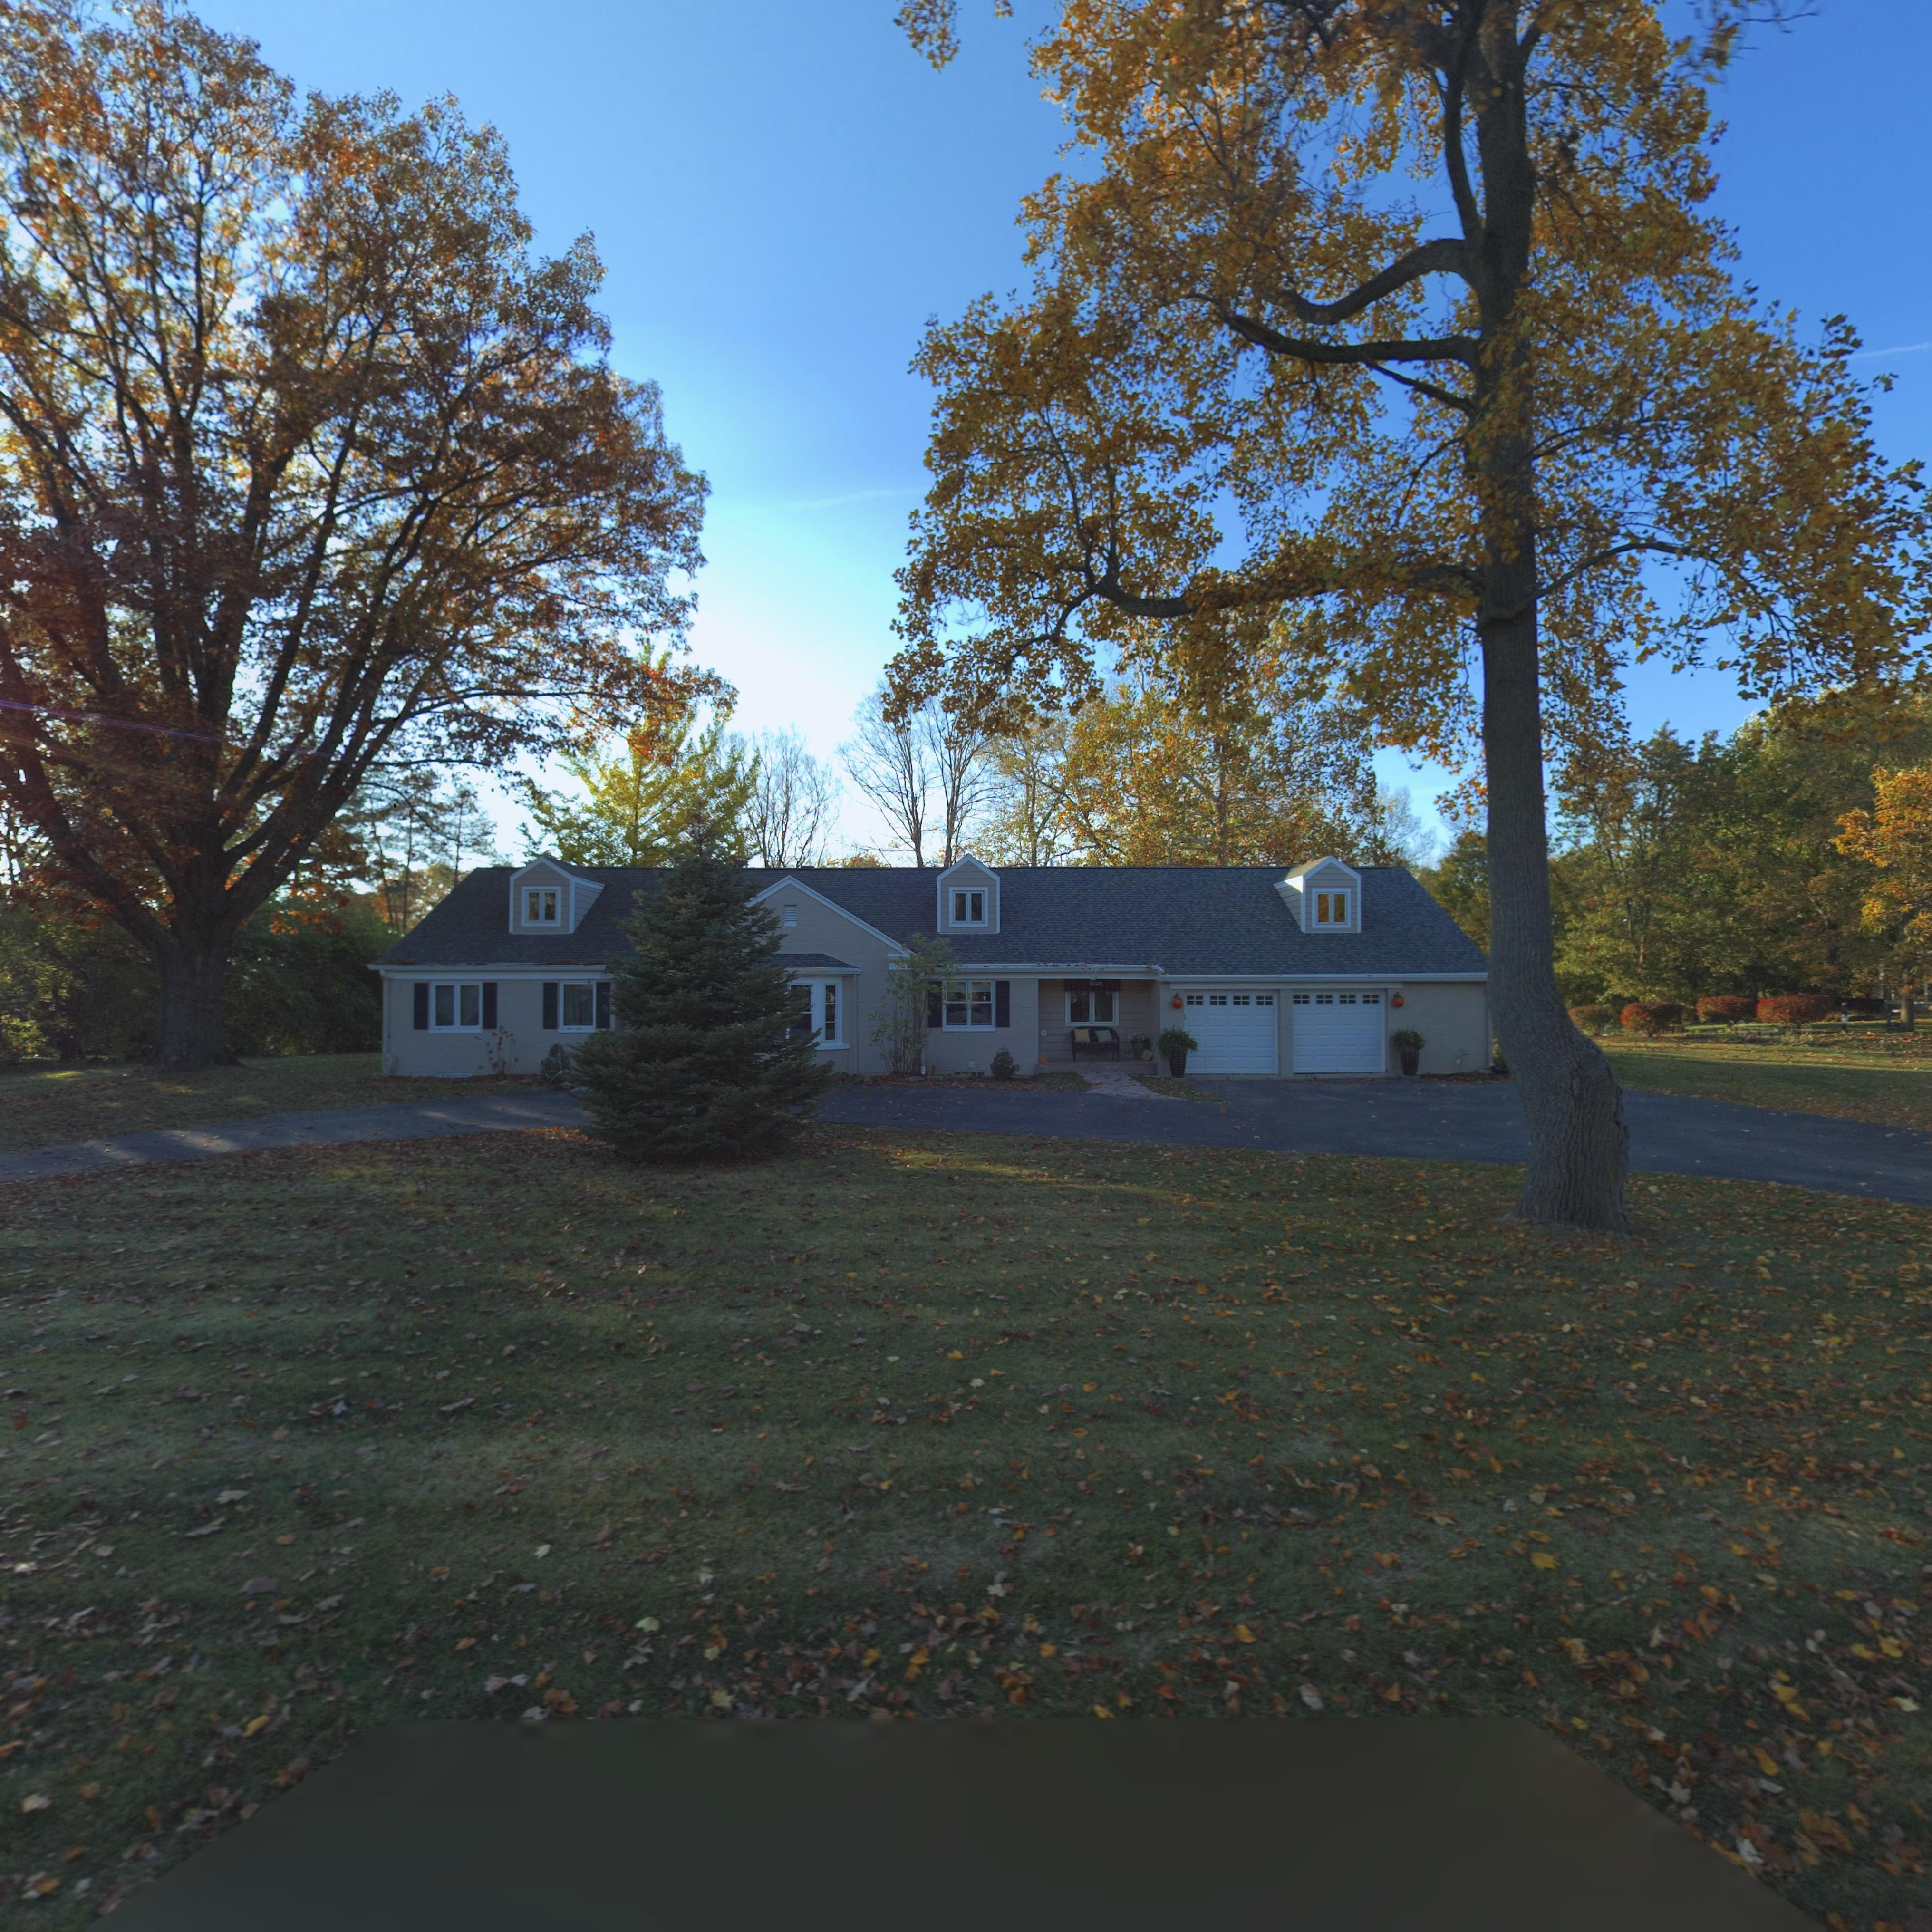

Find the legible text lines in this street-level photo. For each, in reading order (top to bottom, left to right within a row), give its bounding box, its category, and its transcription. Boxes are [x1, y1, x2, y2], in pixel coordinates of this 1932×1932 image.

[1089, 981, 1103, 986] StreetNumber: *1**